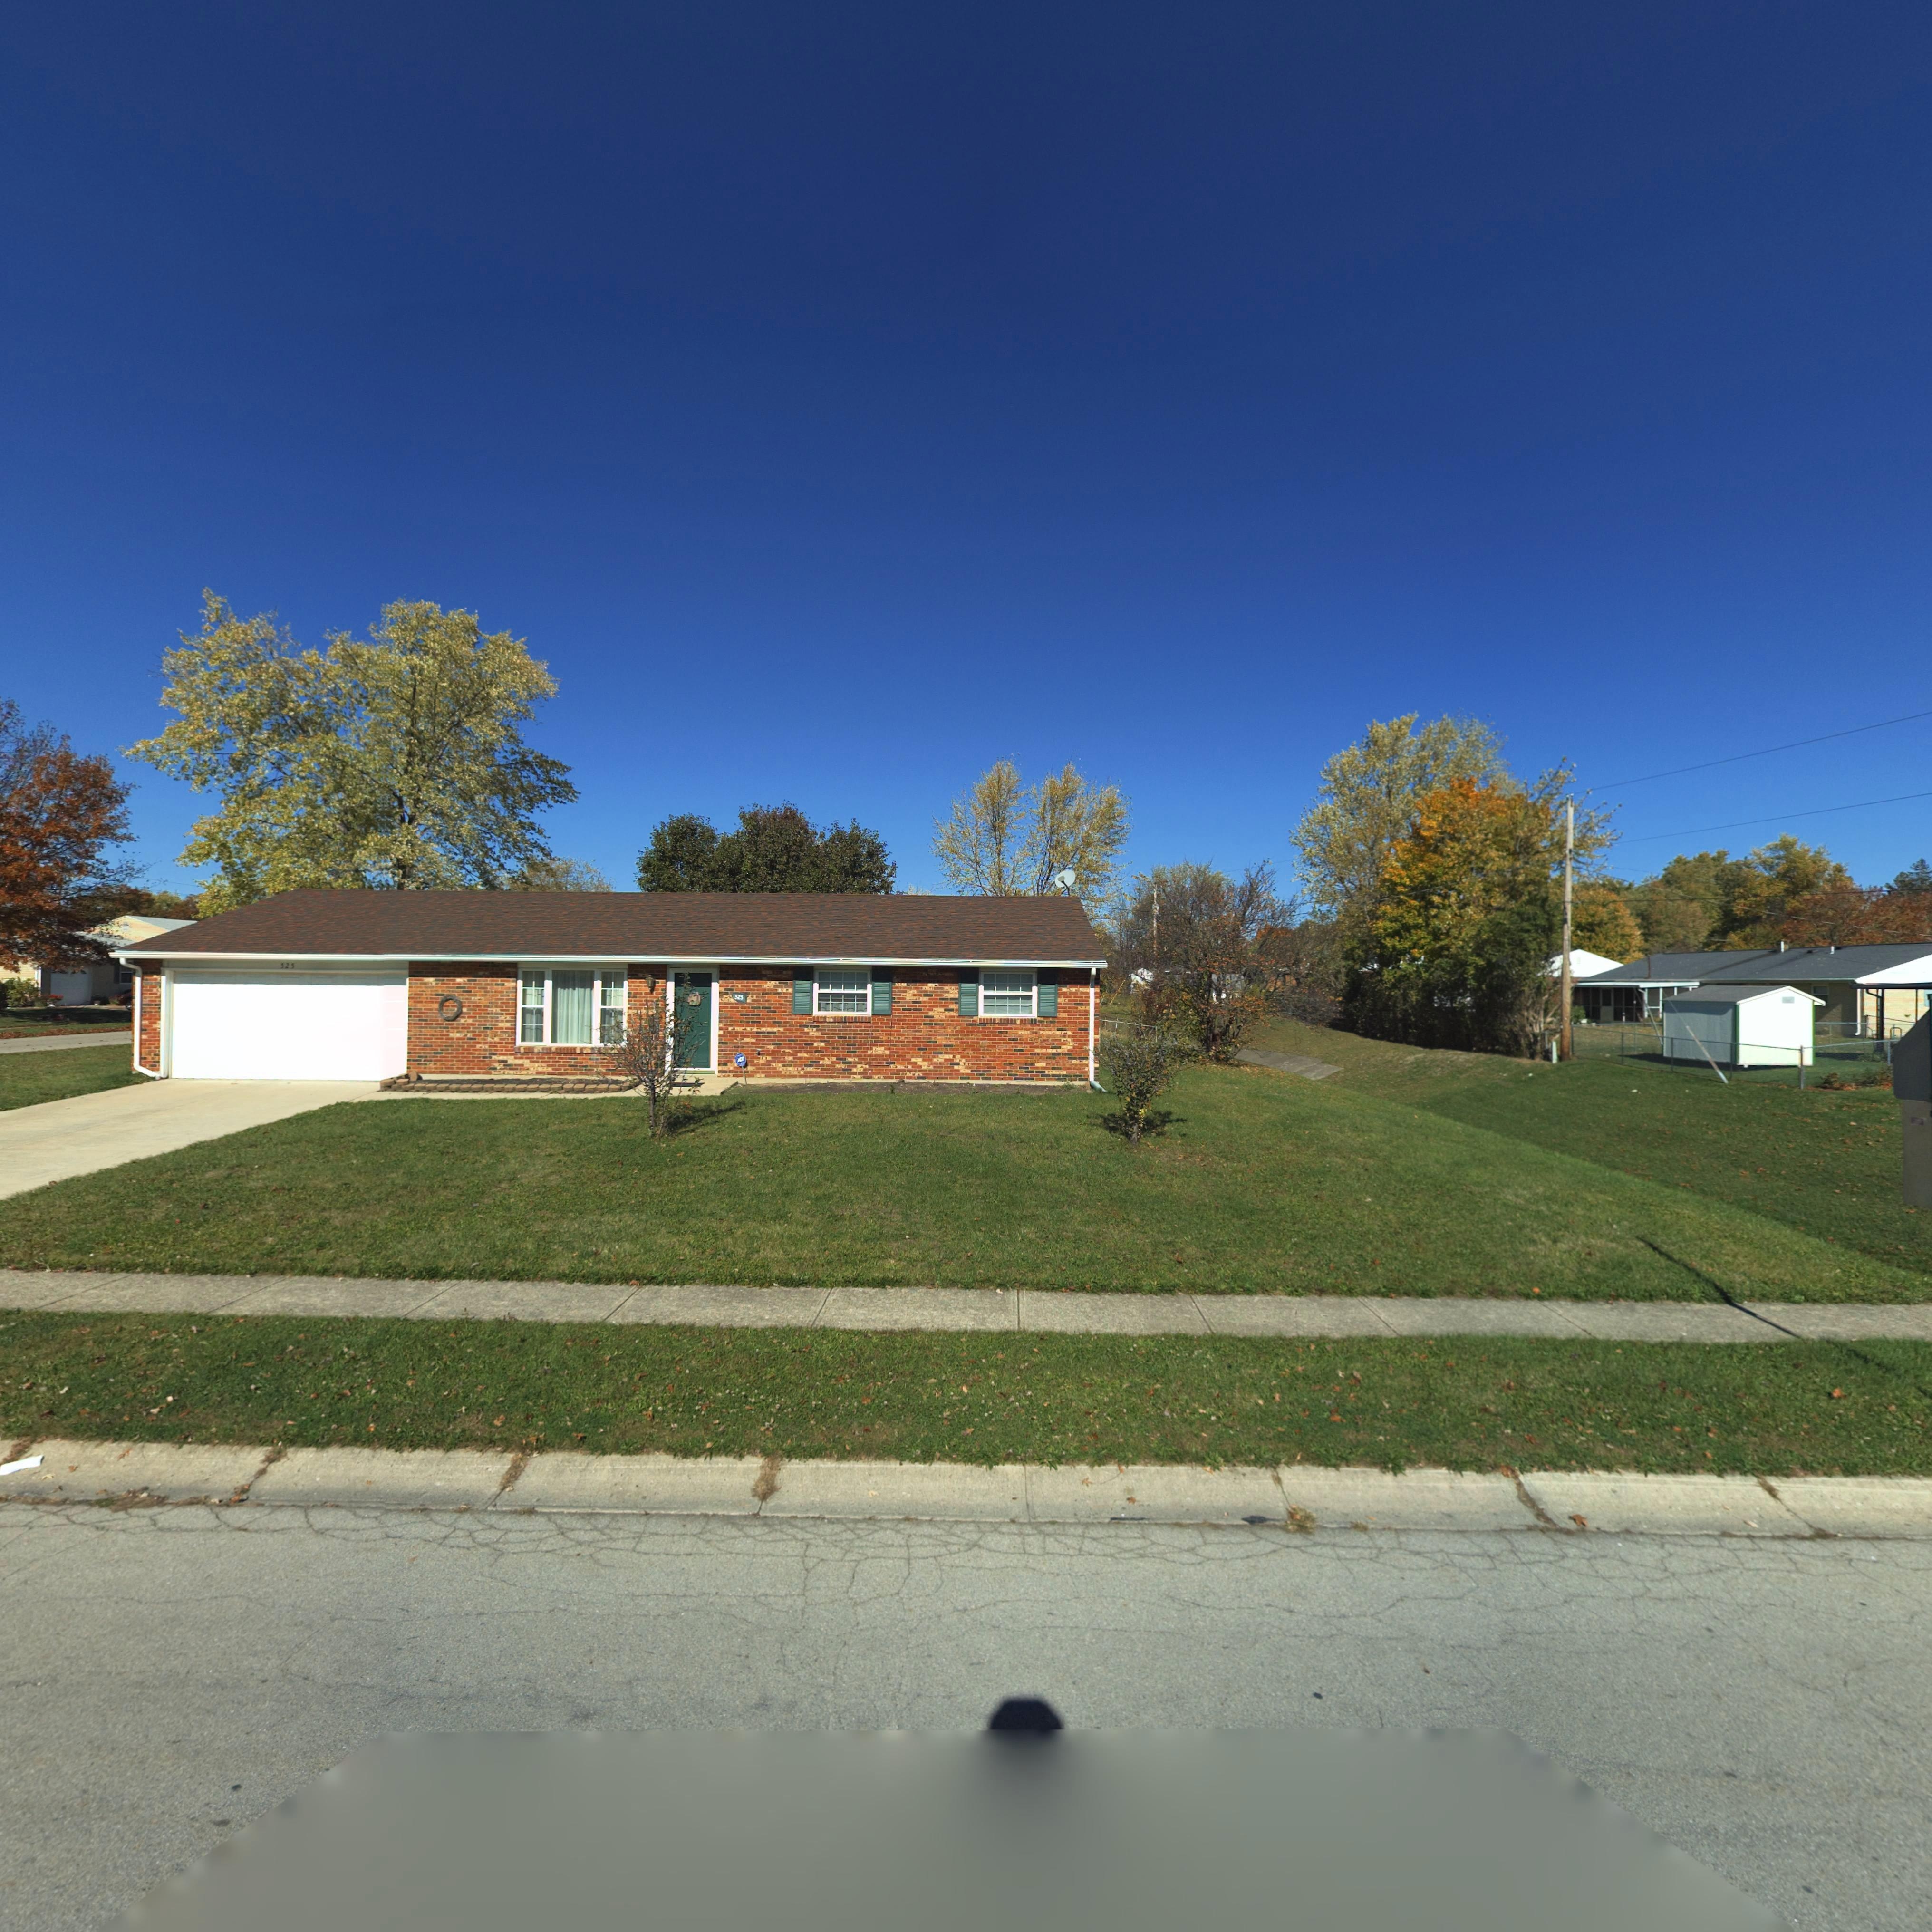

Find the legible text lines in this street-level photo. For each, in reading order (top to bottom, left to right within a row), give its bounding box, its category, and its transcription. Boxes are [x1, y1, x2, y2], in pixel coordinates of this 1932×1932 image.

[280, 962, 296, 970] StreetNumber: *25
[734, 994, 745, 1001] StreetNumber: *2*